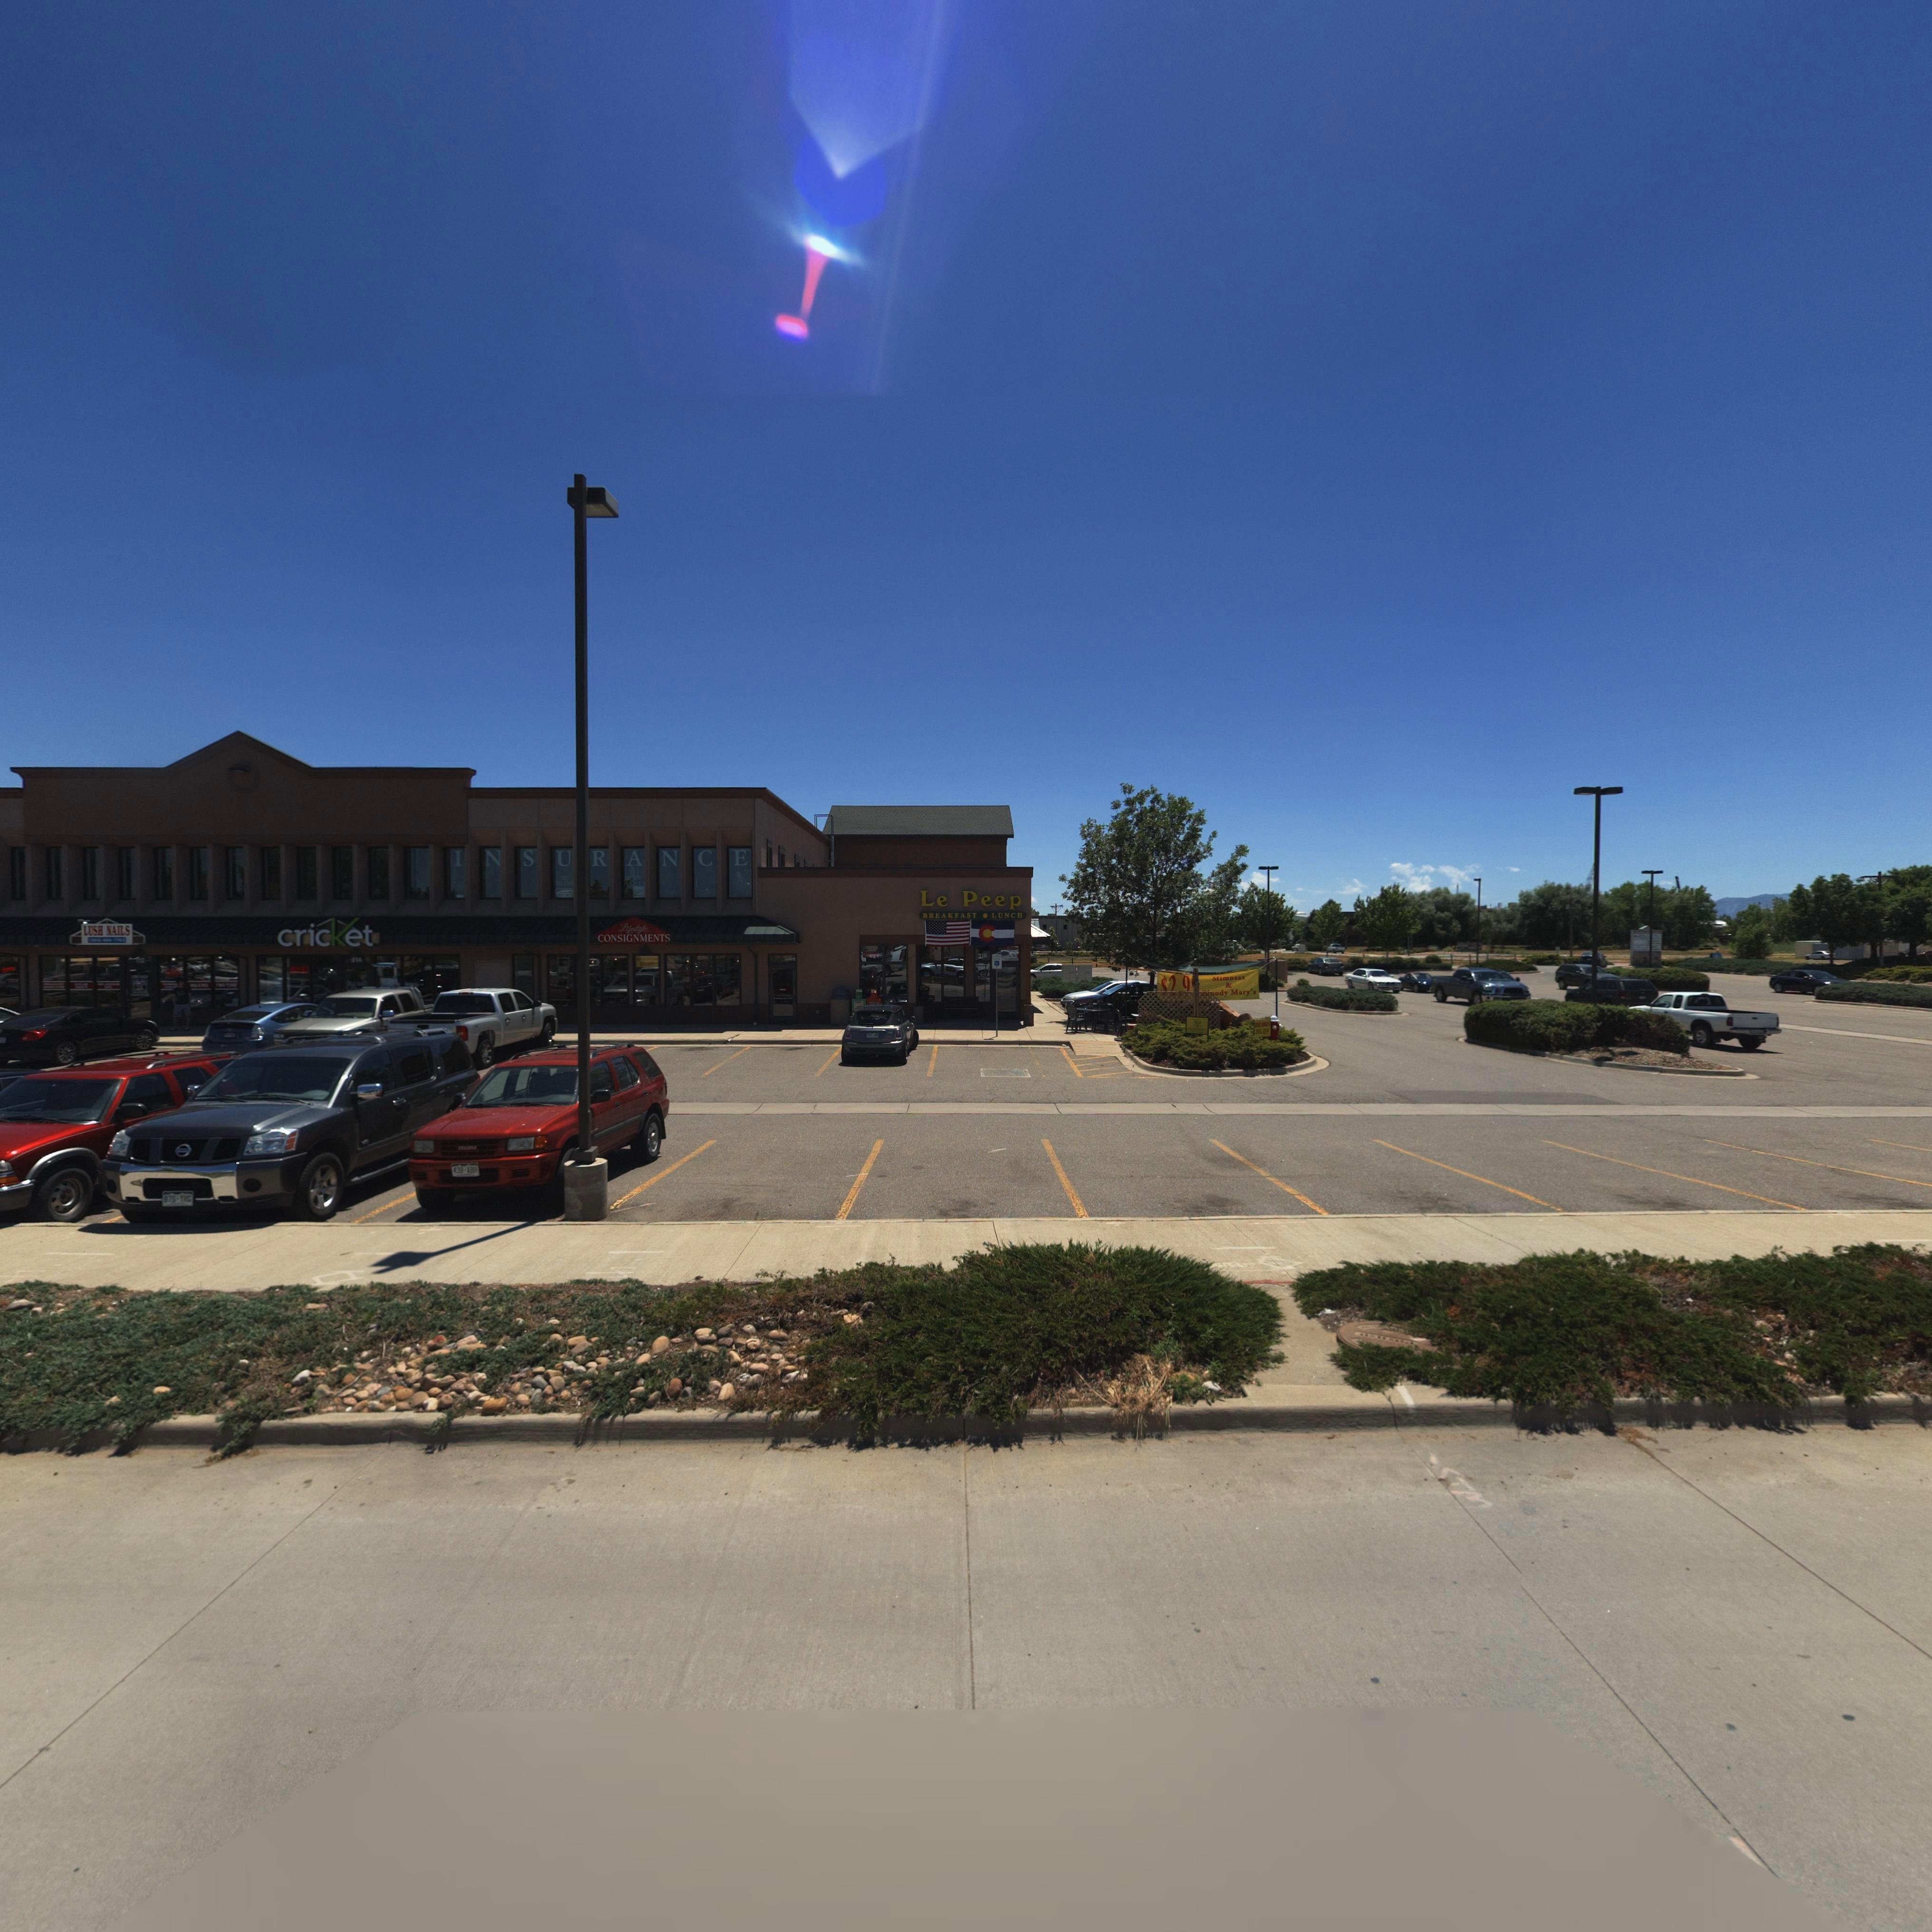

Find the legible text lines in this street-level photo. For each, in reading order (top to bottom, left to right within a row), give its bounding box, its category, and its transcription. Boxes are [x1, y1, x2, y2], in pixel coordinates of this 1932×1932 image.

[920, 890, 1022, 910] BusinessName: Le Peep
[83, 925, 130, 936] BusinessName: LUSH NAILS
[276, 916, 374, 947] BusinessName: cricket
[618, 922, 649, 934] BusinessName: Lifestyle
[597, 933, 670, 942] BusinessName: CONSINMENTS
[977, 952, 987, 958] StreetNumber: 116